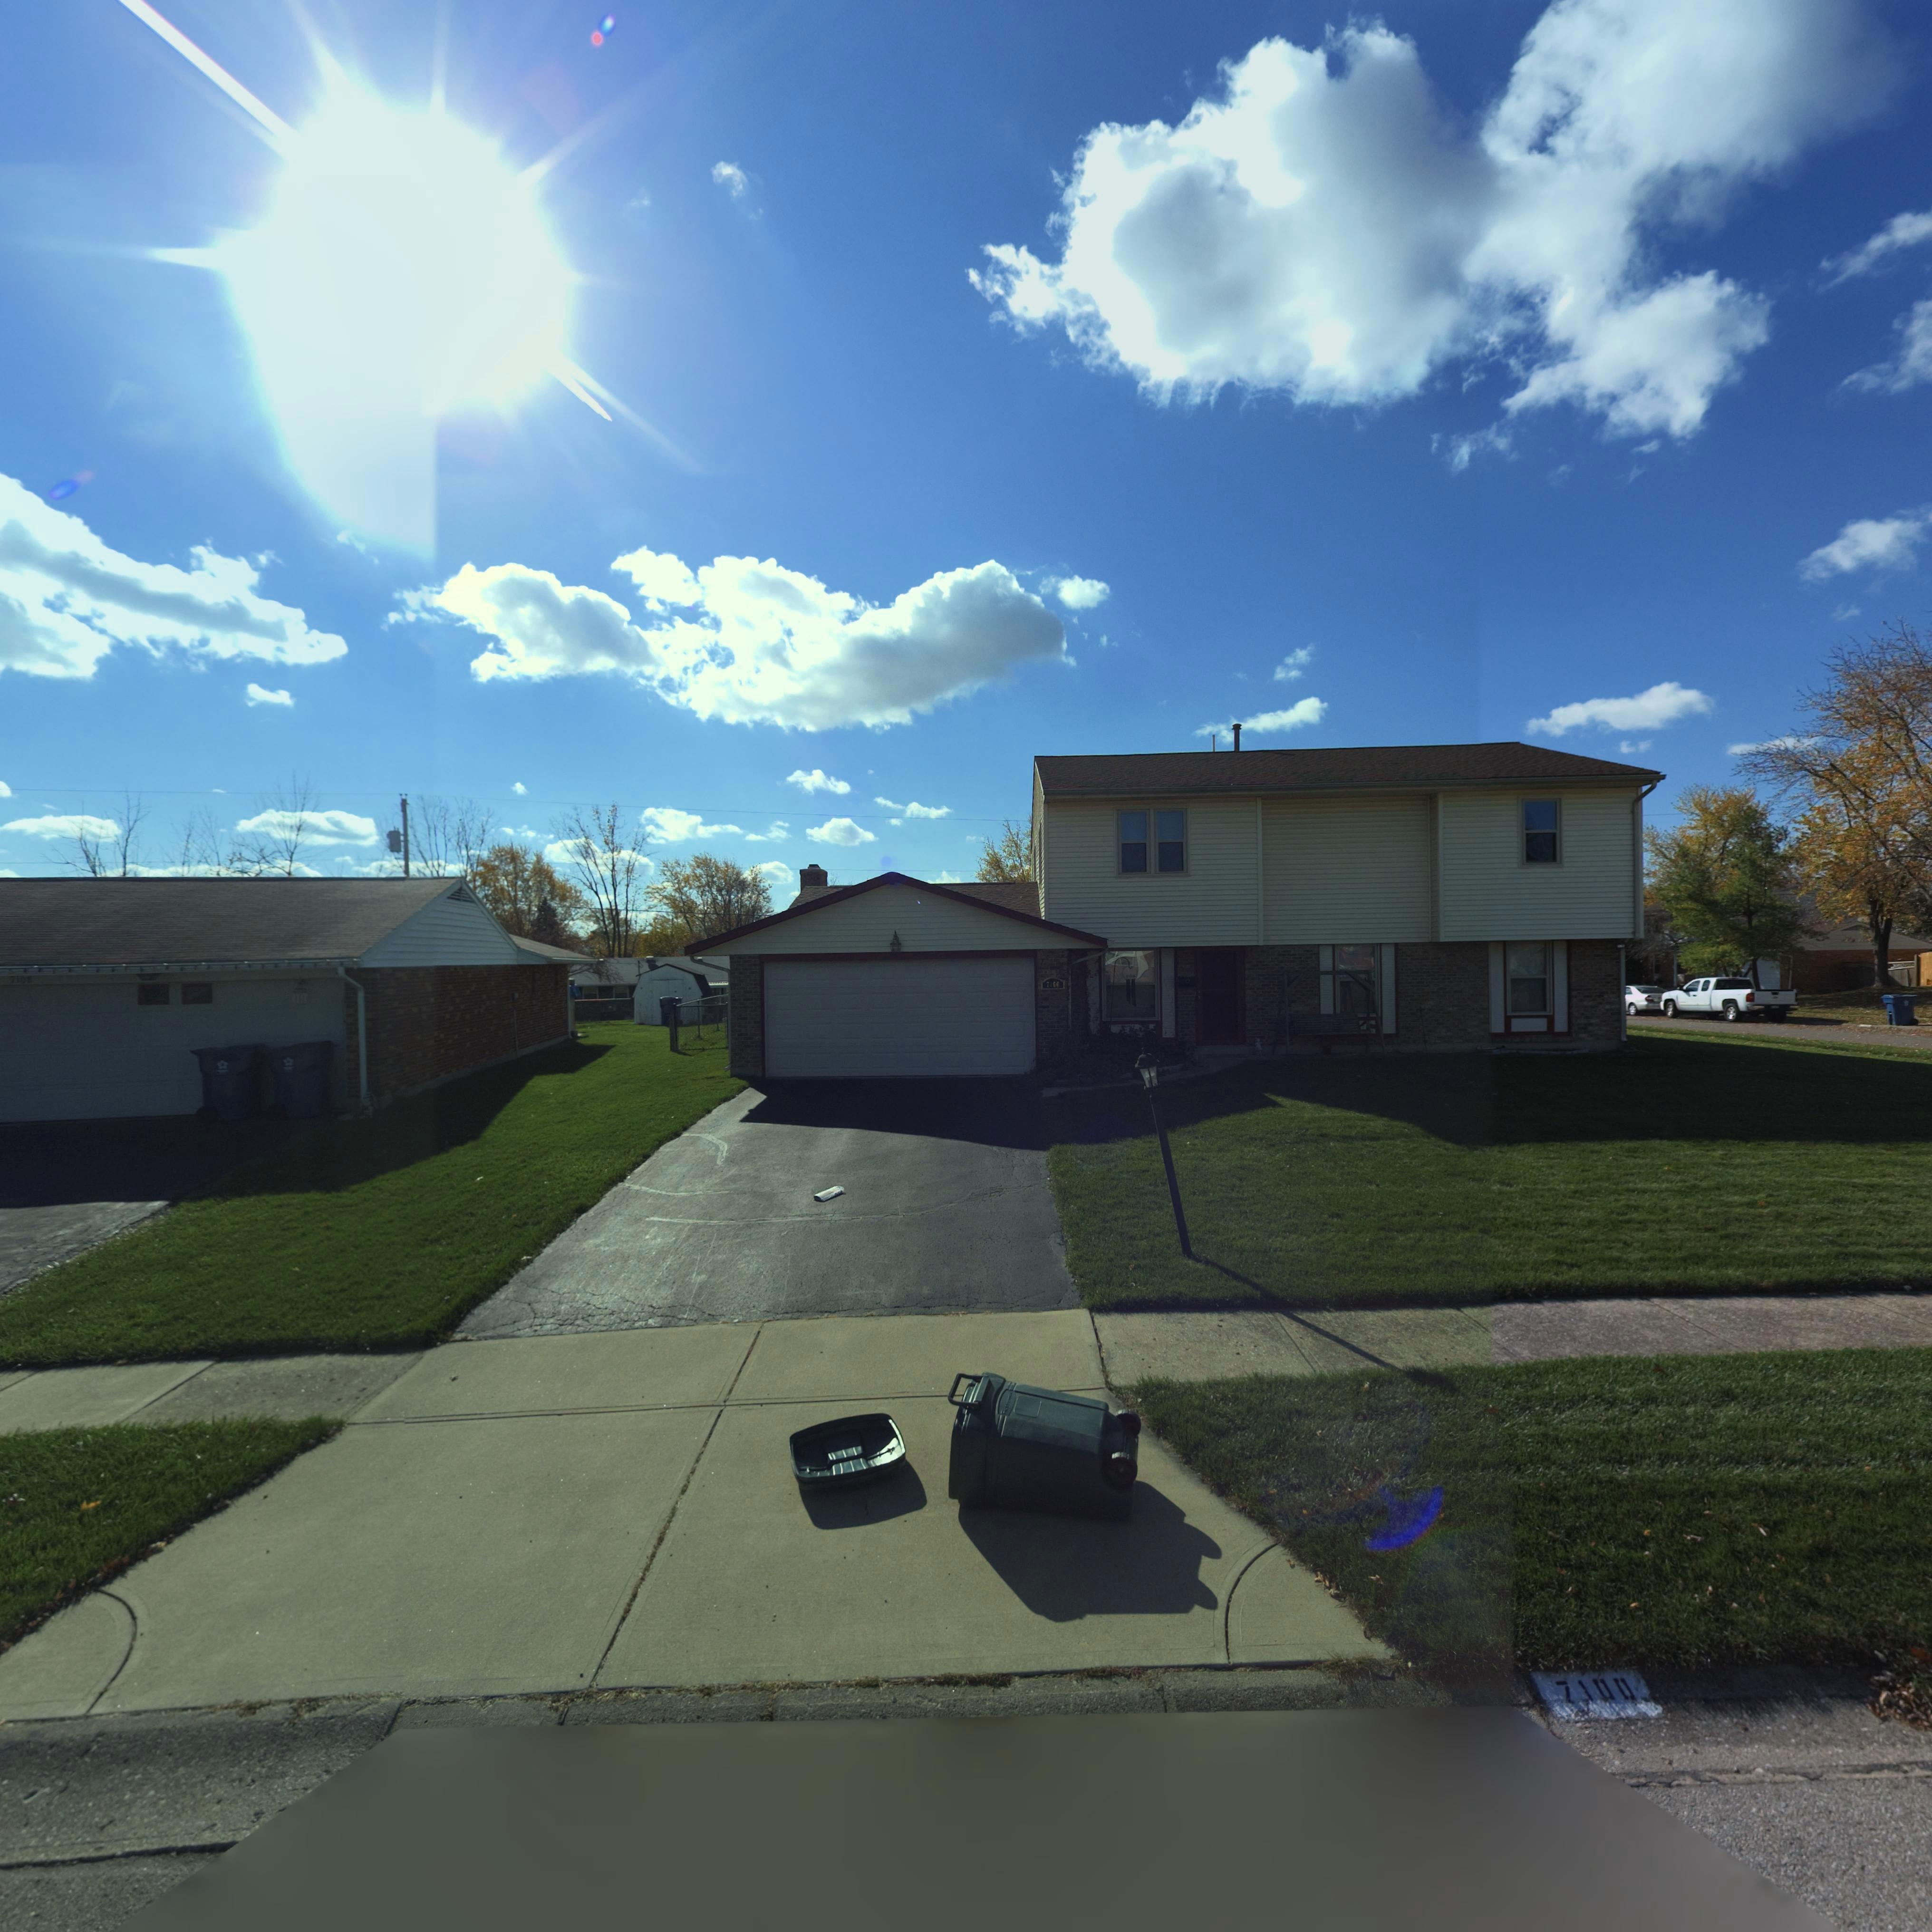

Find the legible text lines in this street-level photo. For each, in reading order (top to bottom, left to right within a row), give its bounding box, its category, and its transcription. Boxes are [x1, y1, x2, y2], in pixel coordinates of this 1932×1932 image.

[1045, 980, 1060, 989] StreetNumber: 7***
[1554, 1675, 1638, 1705] StreetNumber: 7100